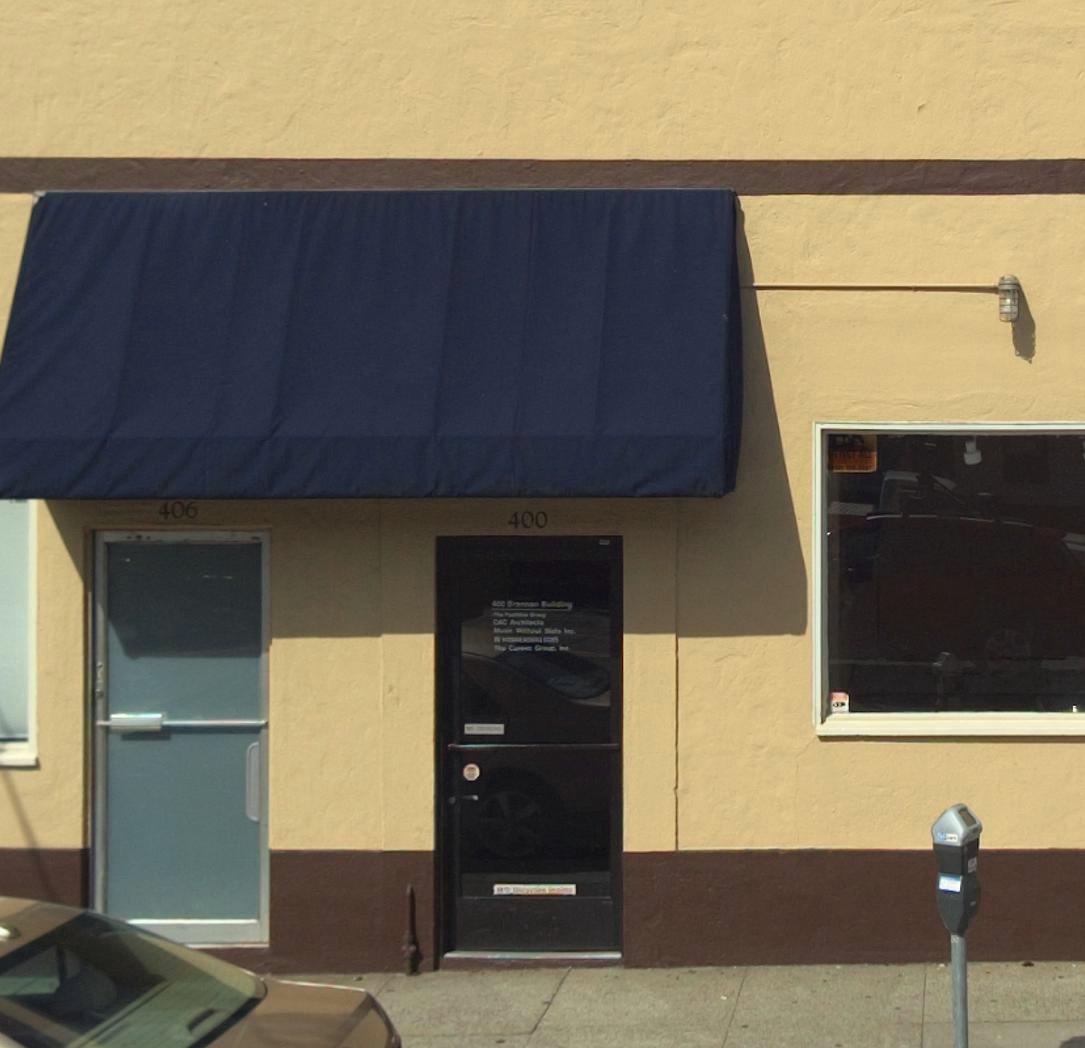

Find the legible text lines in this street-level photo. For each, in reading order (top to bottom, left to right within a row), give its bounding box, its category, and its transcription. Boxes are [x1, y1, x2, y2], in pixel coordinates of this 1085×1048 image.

[154, 496, 205, 526] StreetNumber: 406
[505, 508, 553, 534] StreetNumber: 400